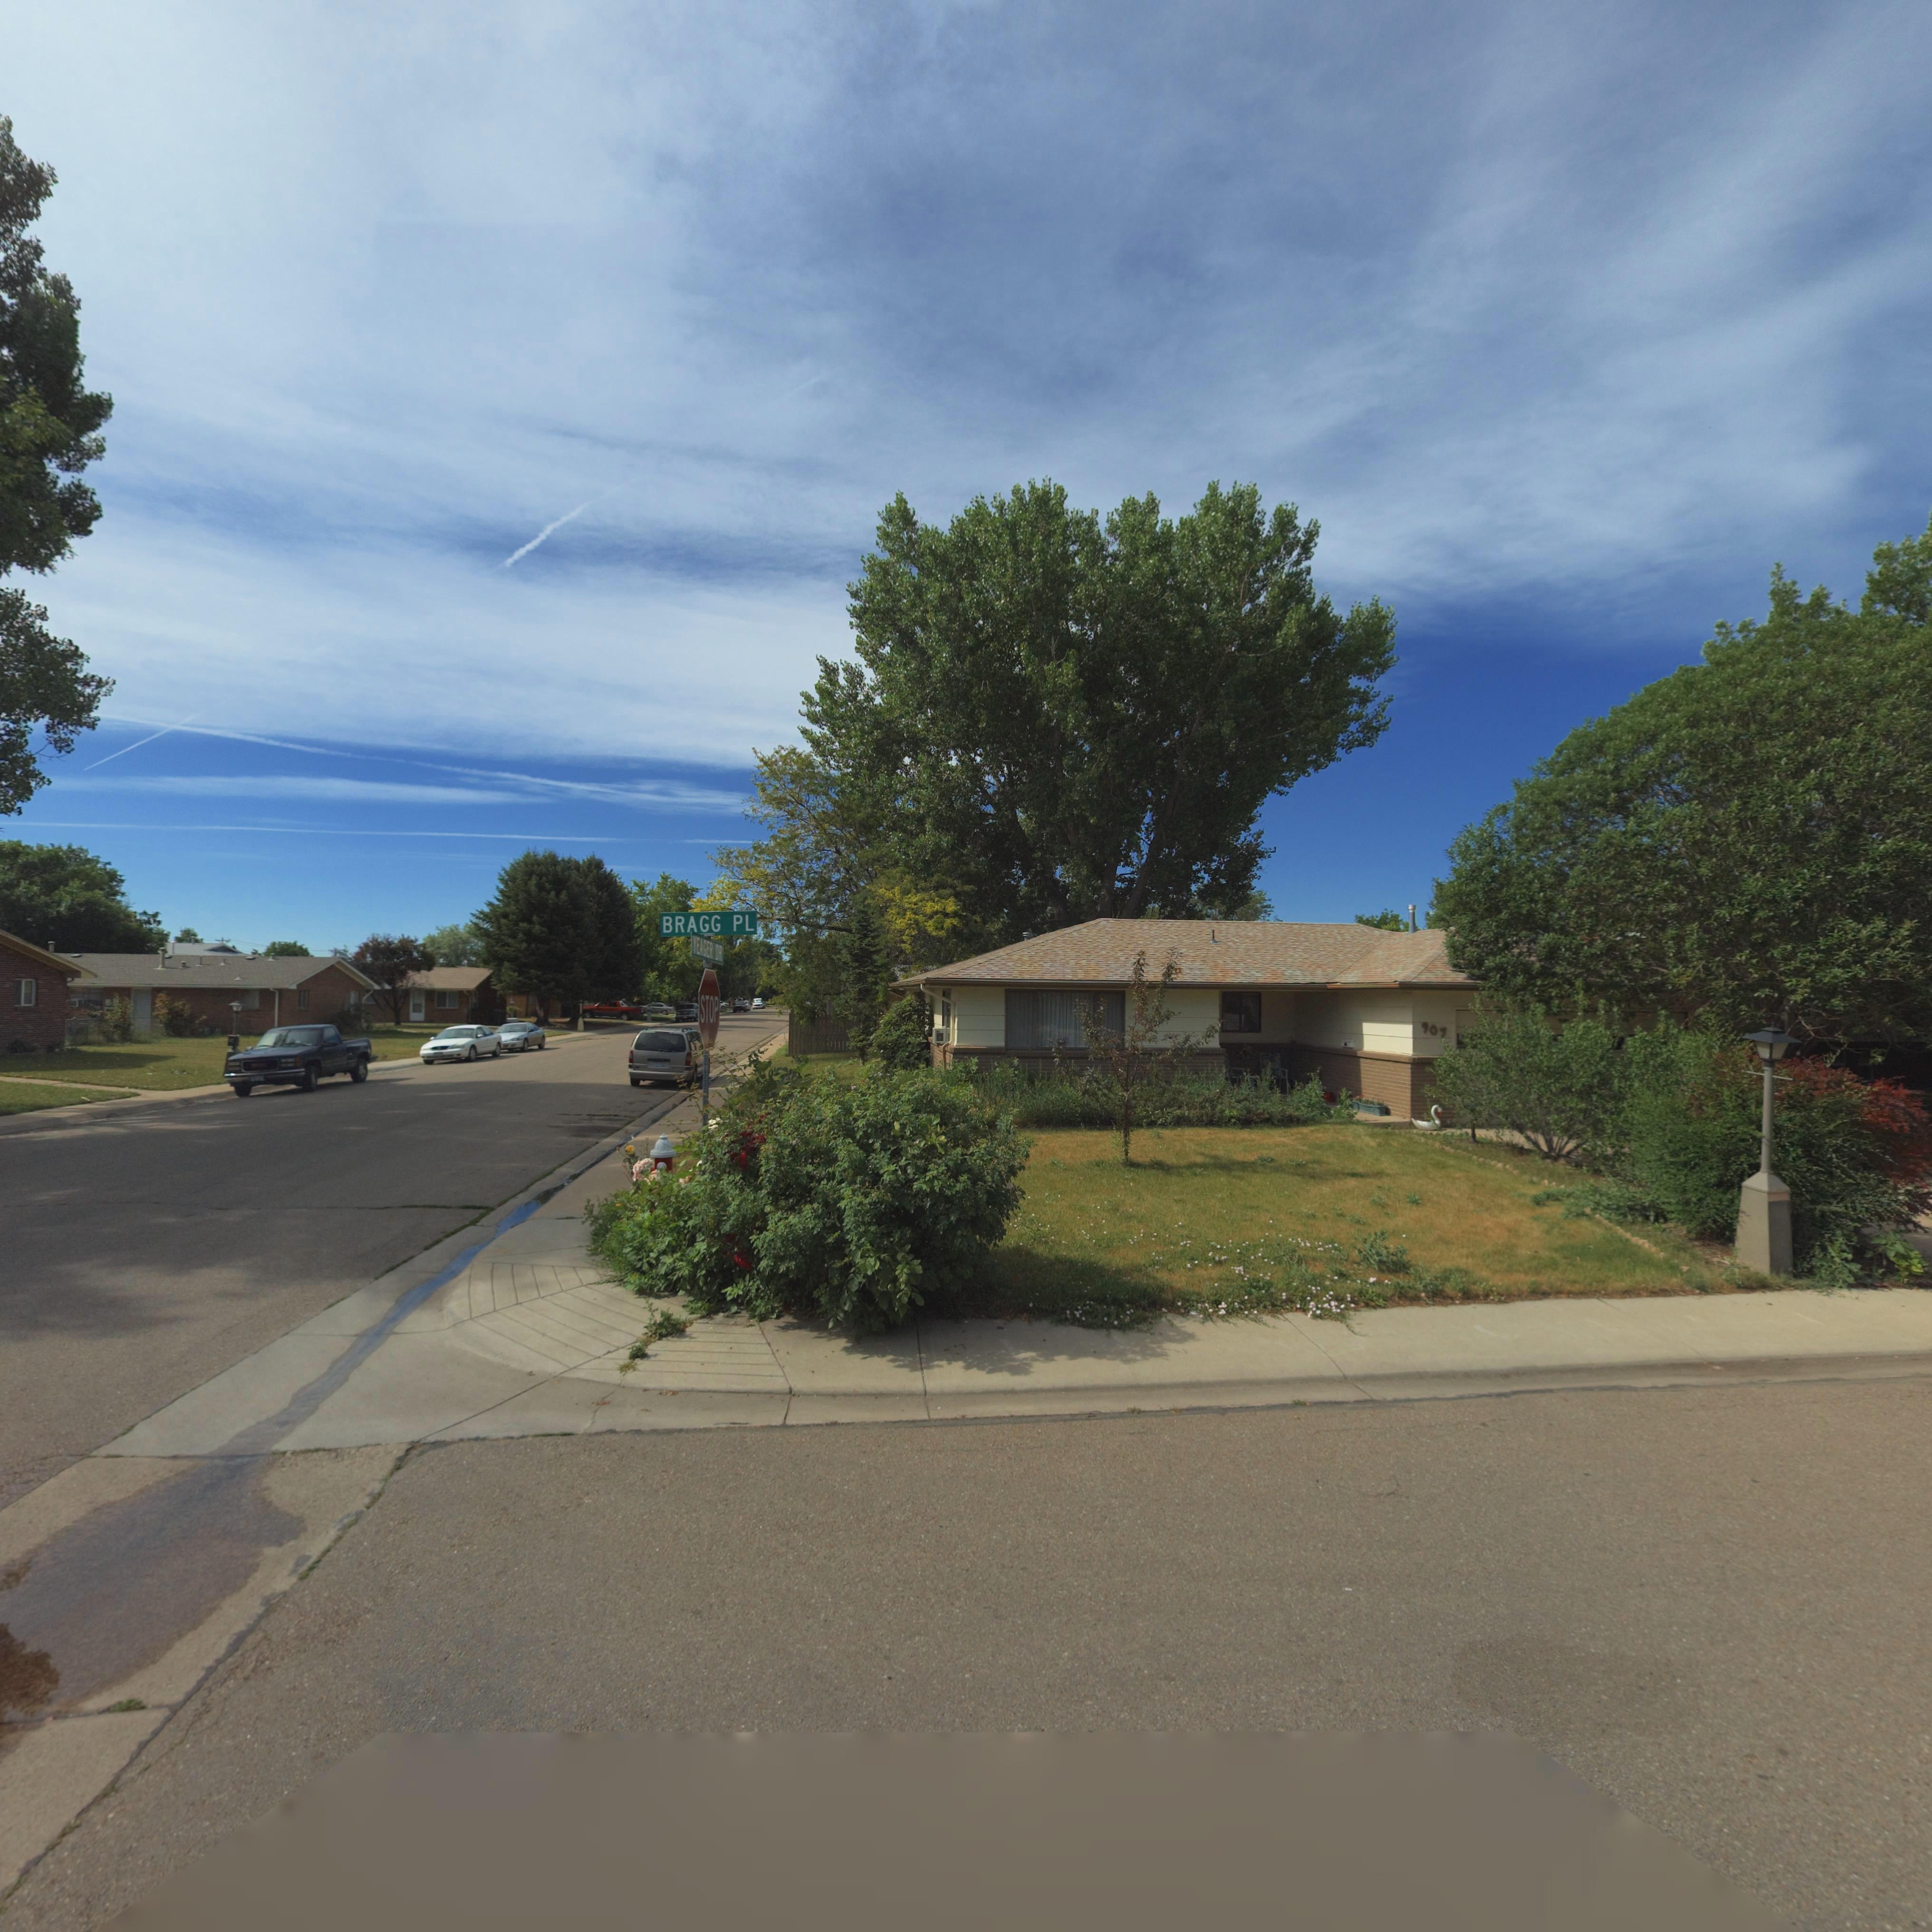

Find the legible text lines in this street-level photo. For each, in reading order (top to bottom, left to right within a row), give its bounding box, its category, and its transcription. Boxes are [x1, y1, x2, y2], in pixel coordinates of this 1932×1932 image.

[663, 914, 754, 933] StreetName: BRAGG PL
[693, 934, 722, 962] StreetName: YEAGER DR
[1420, 1021, 1447, 1039] StreetNumber: 907